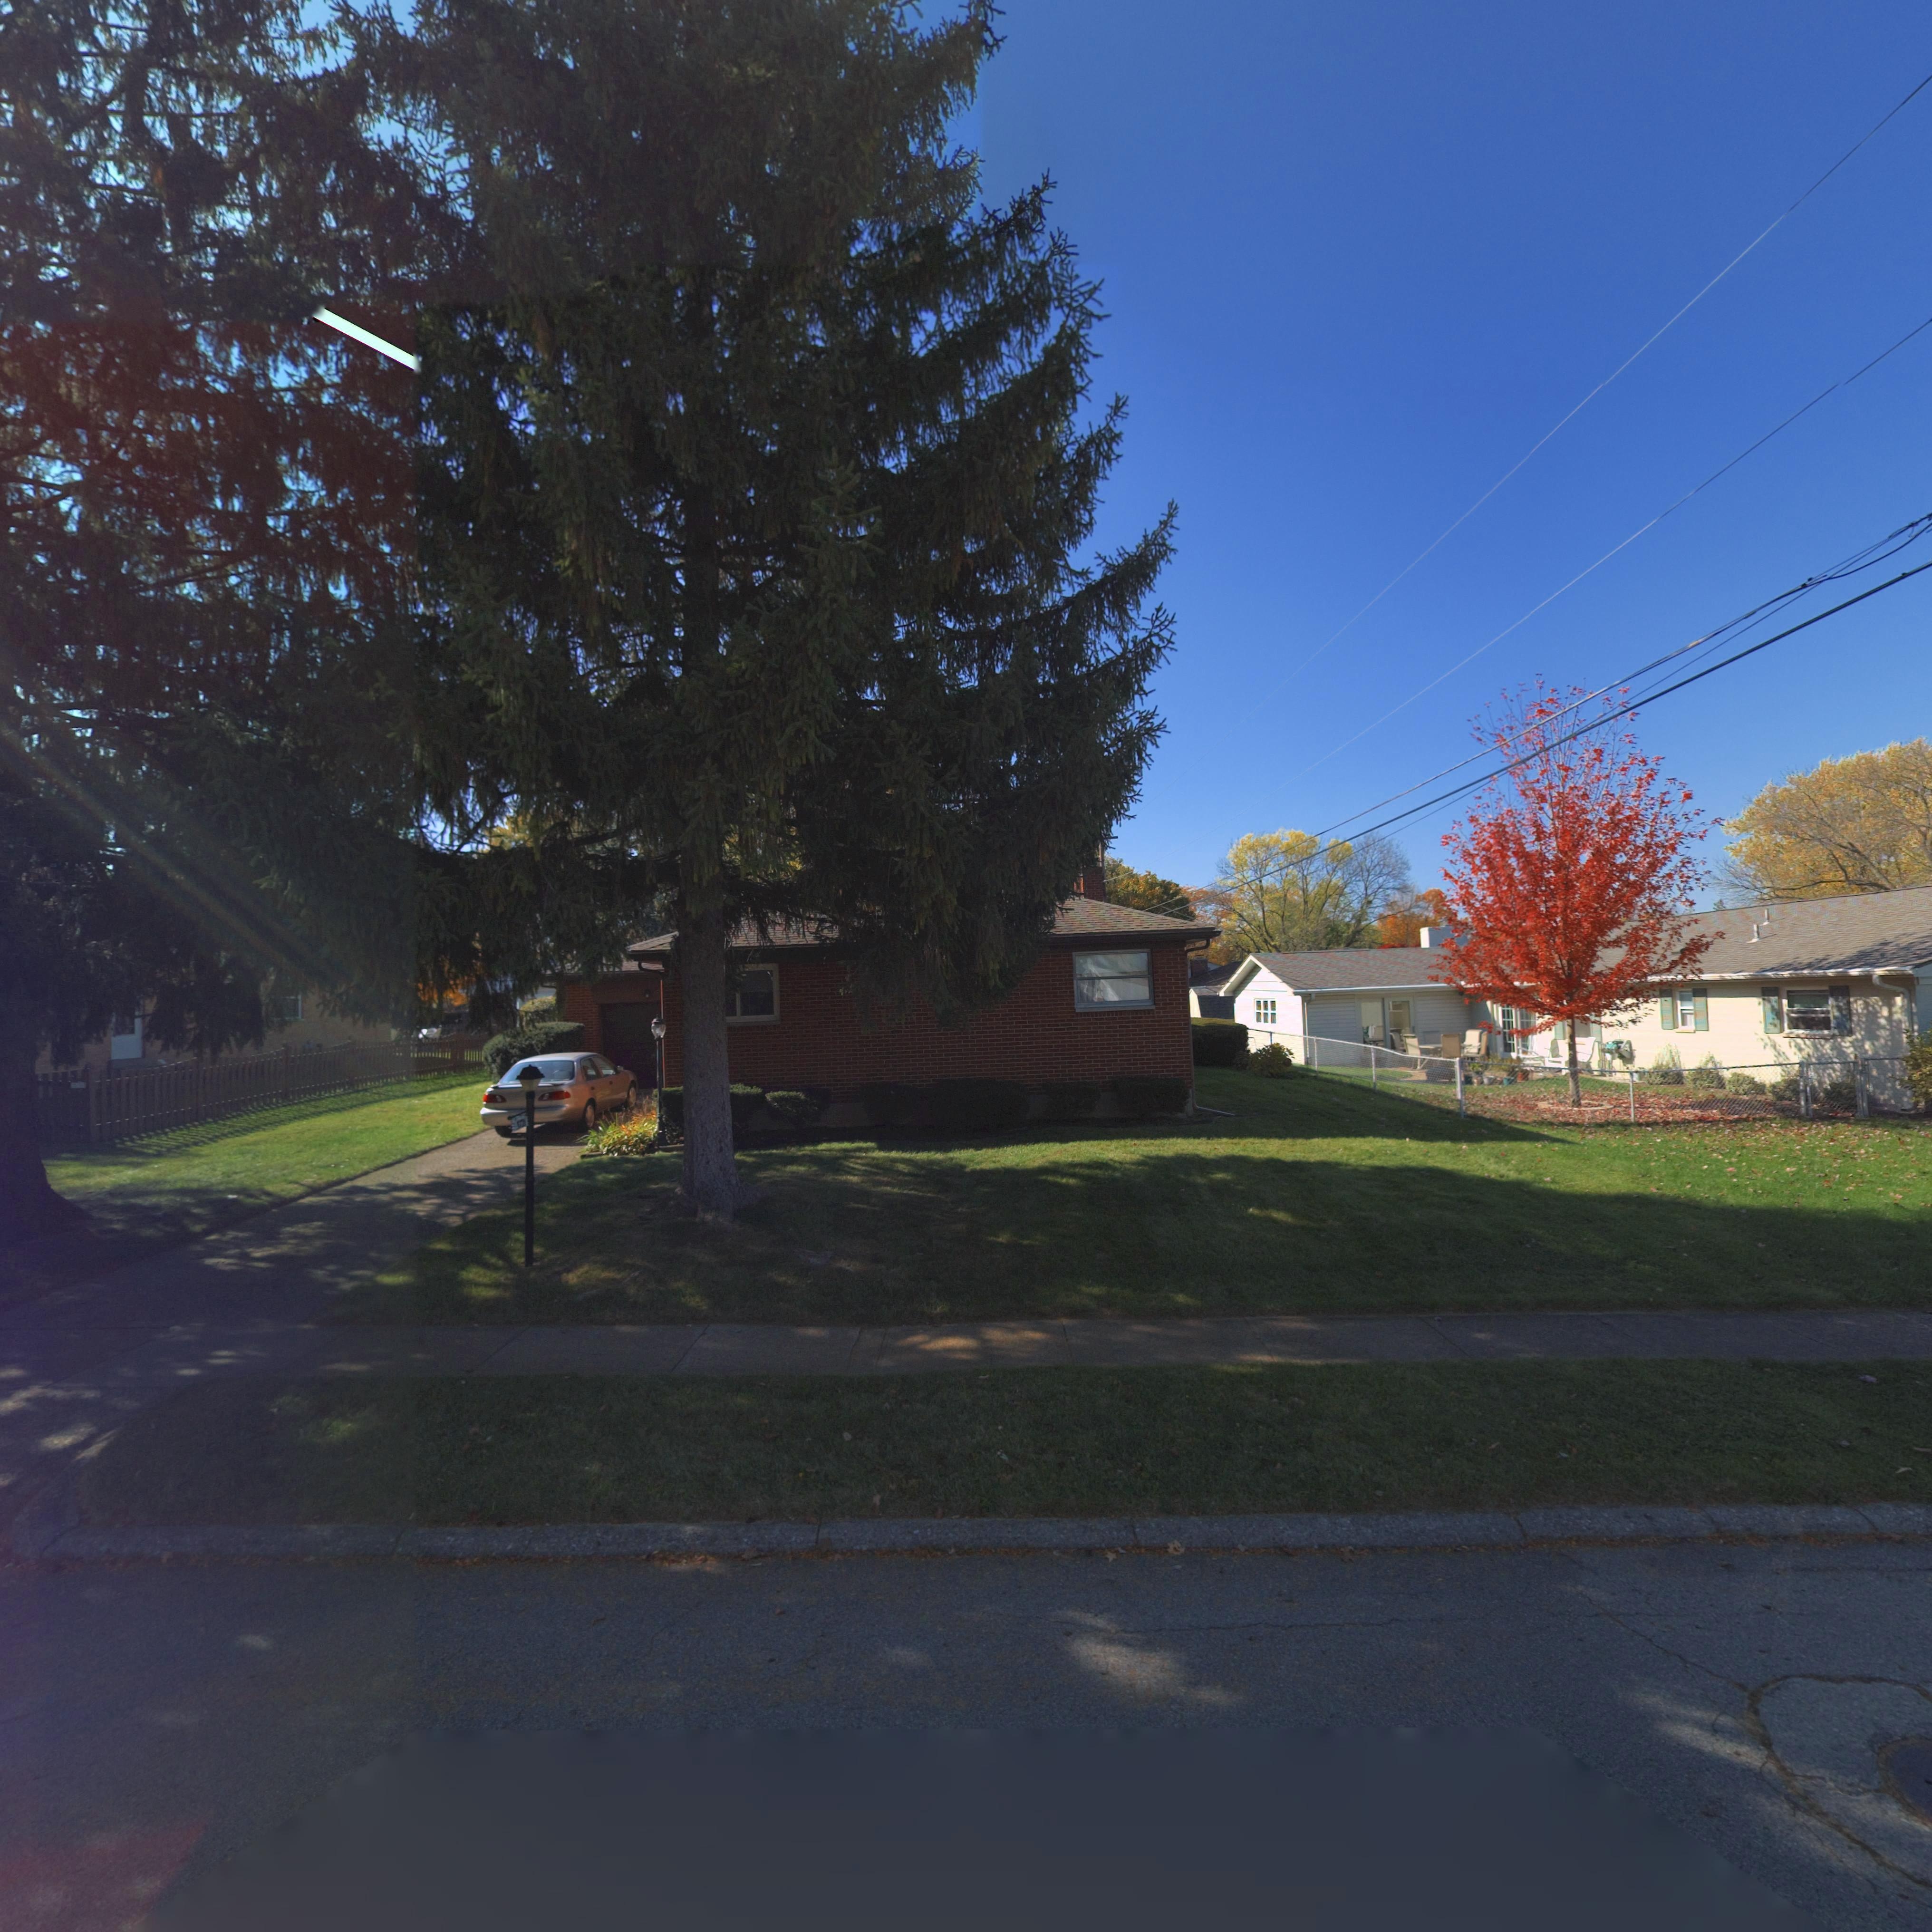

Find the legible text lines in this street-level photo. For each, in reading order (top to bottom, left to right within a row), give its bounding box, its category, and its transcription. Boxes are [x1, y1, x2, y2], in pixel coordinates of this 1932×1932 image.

[516, 1117, 527, 1130] StreetNumber: 37**